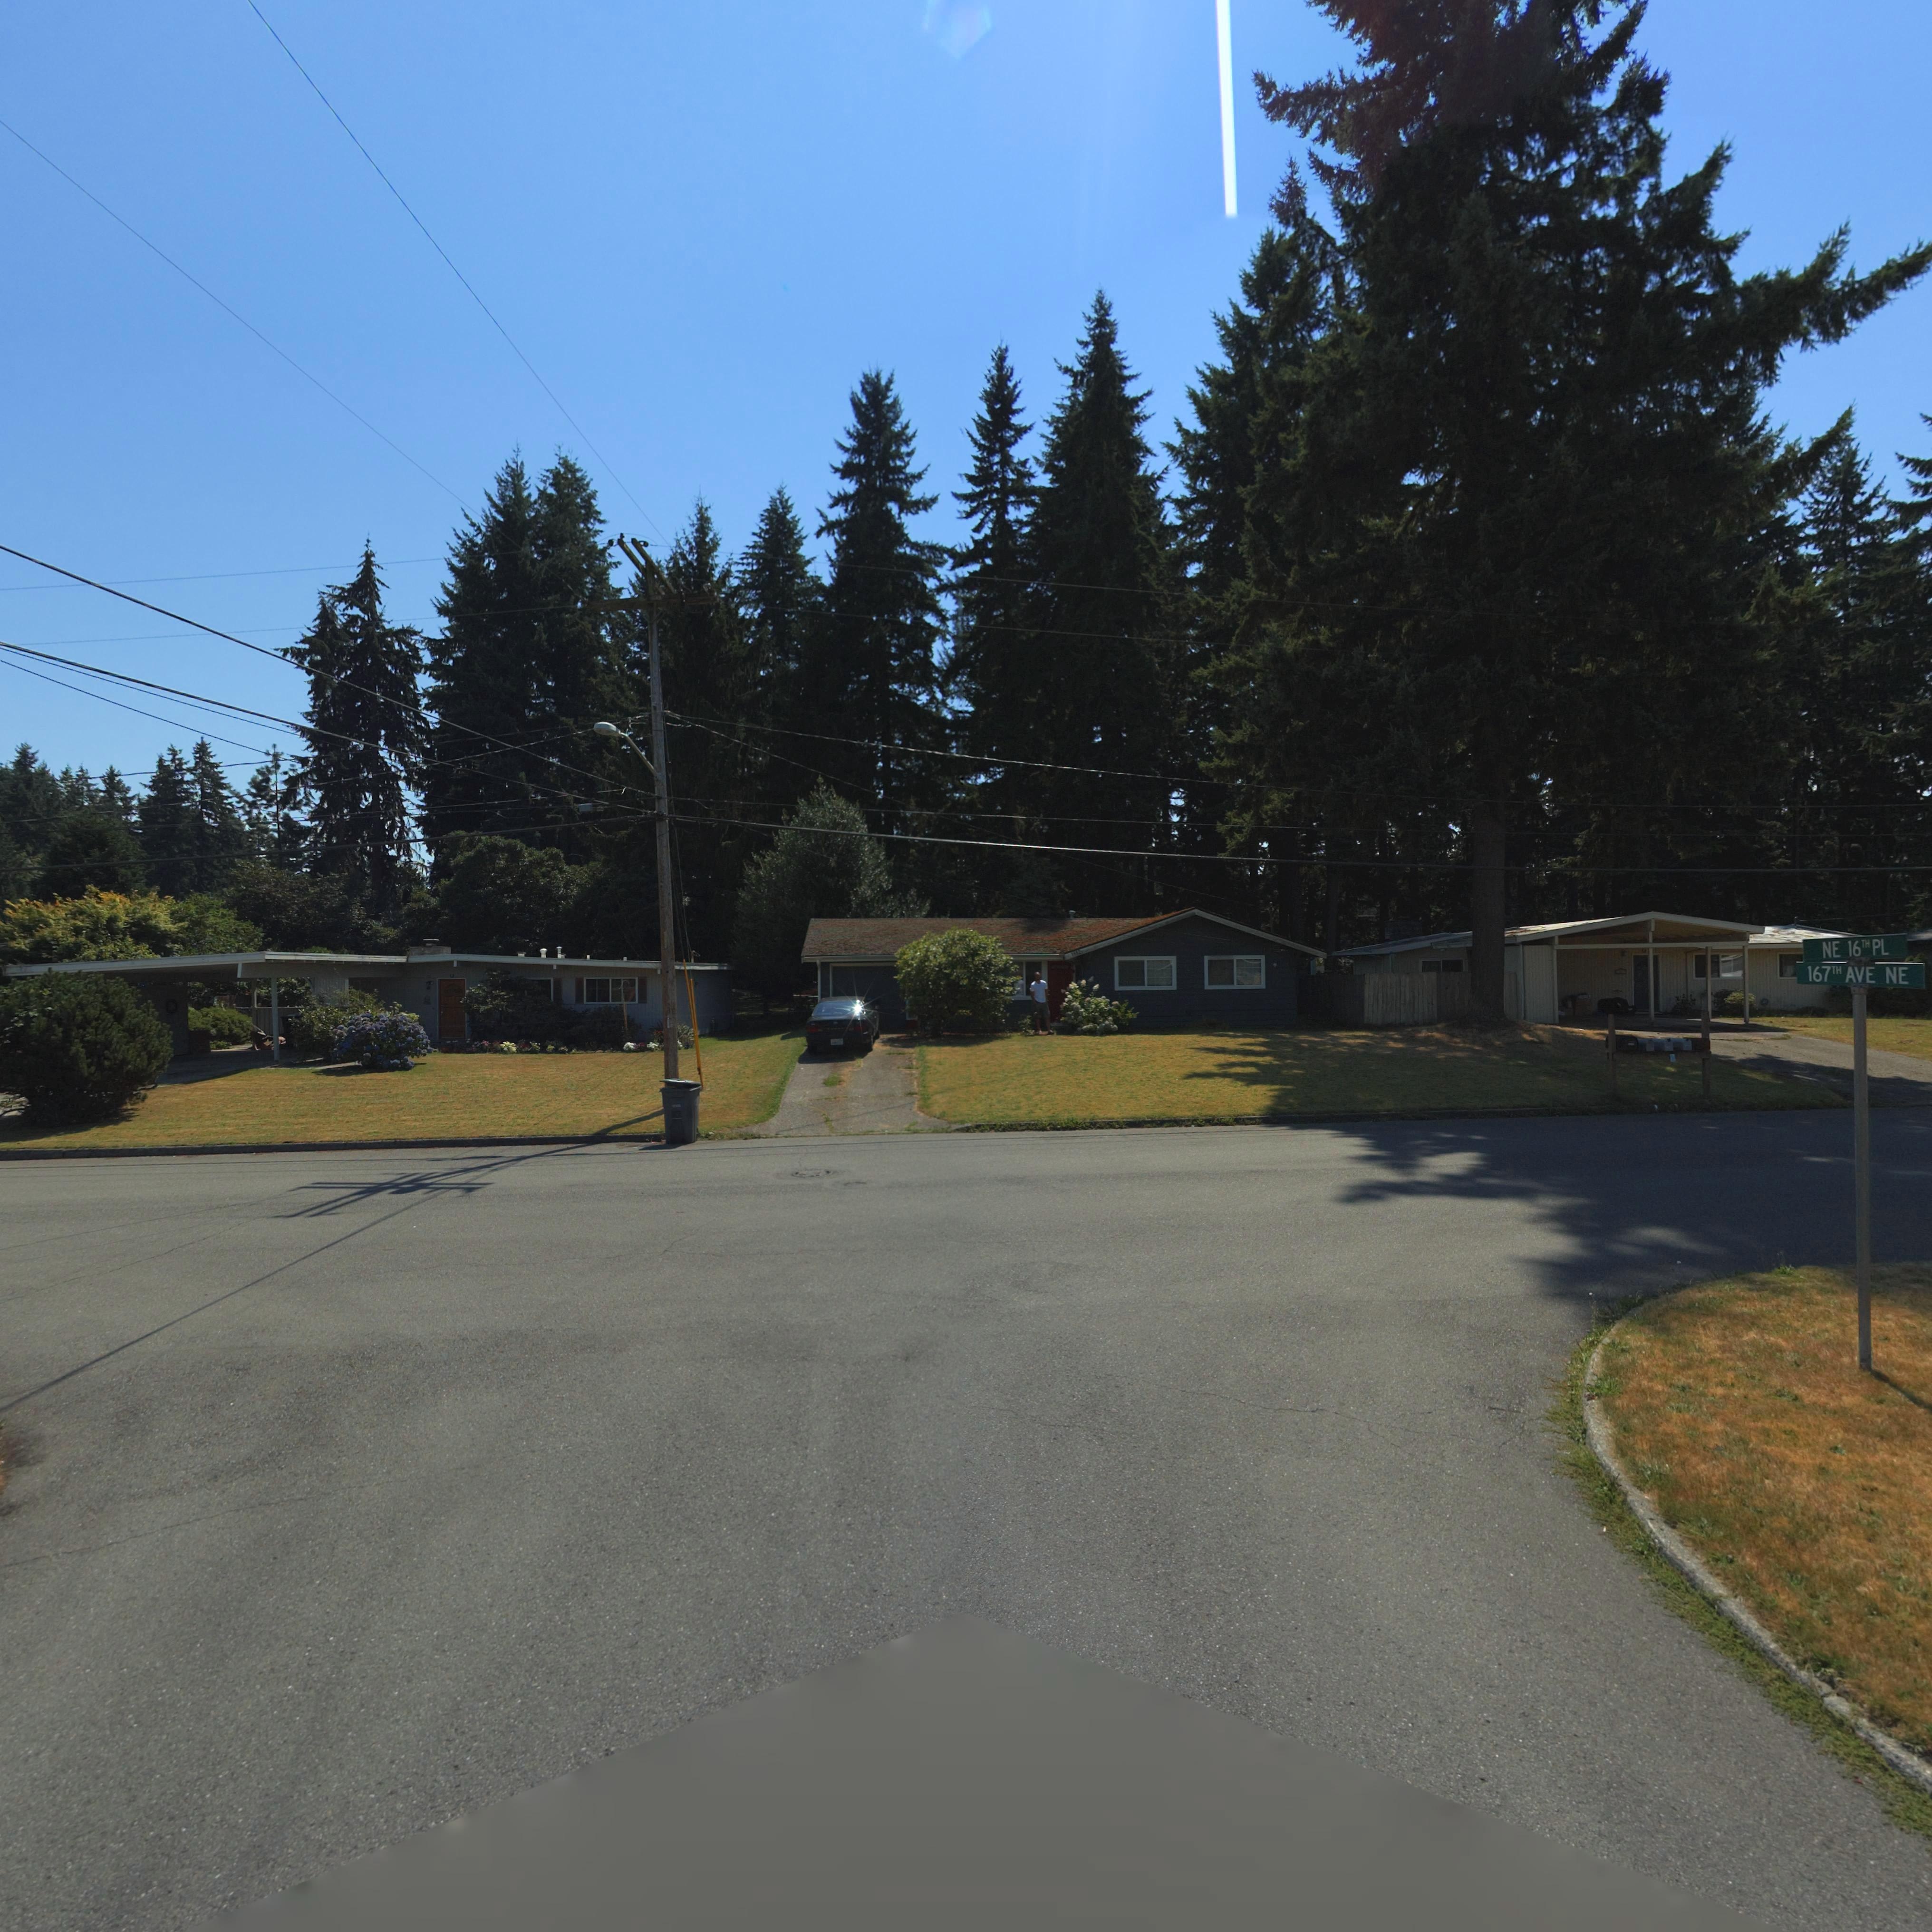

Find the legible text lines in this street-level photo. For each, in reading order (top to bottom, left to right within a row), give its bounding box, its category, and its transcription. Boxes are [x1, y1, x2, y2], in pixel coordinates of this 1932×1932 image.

[1822, 937, 1889, 958] StreetNumber: NE 16TH PL
[1806, 964, 1909, 985] StreetName: 167TH AVE NE